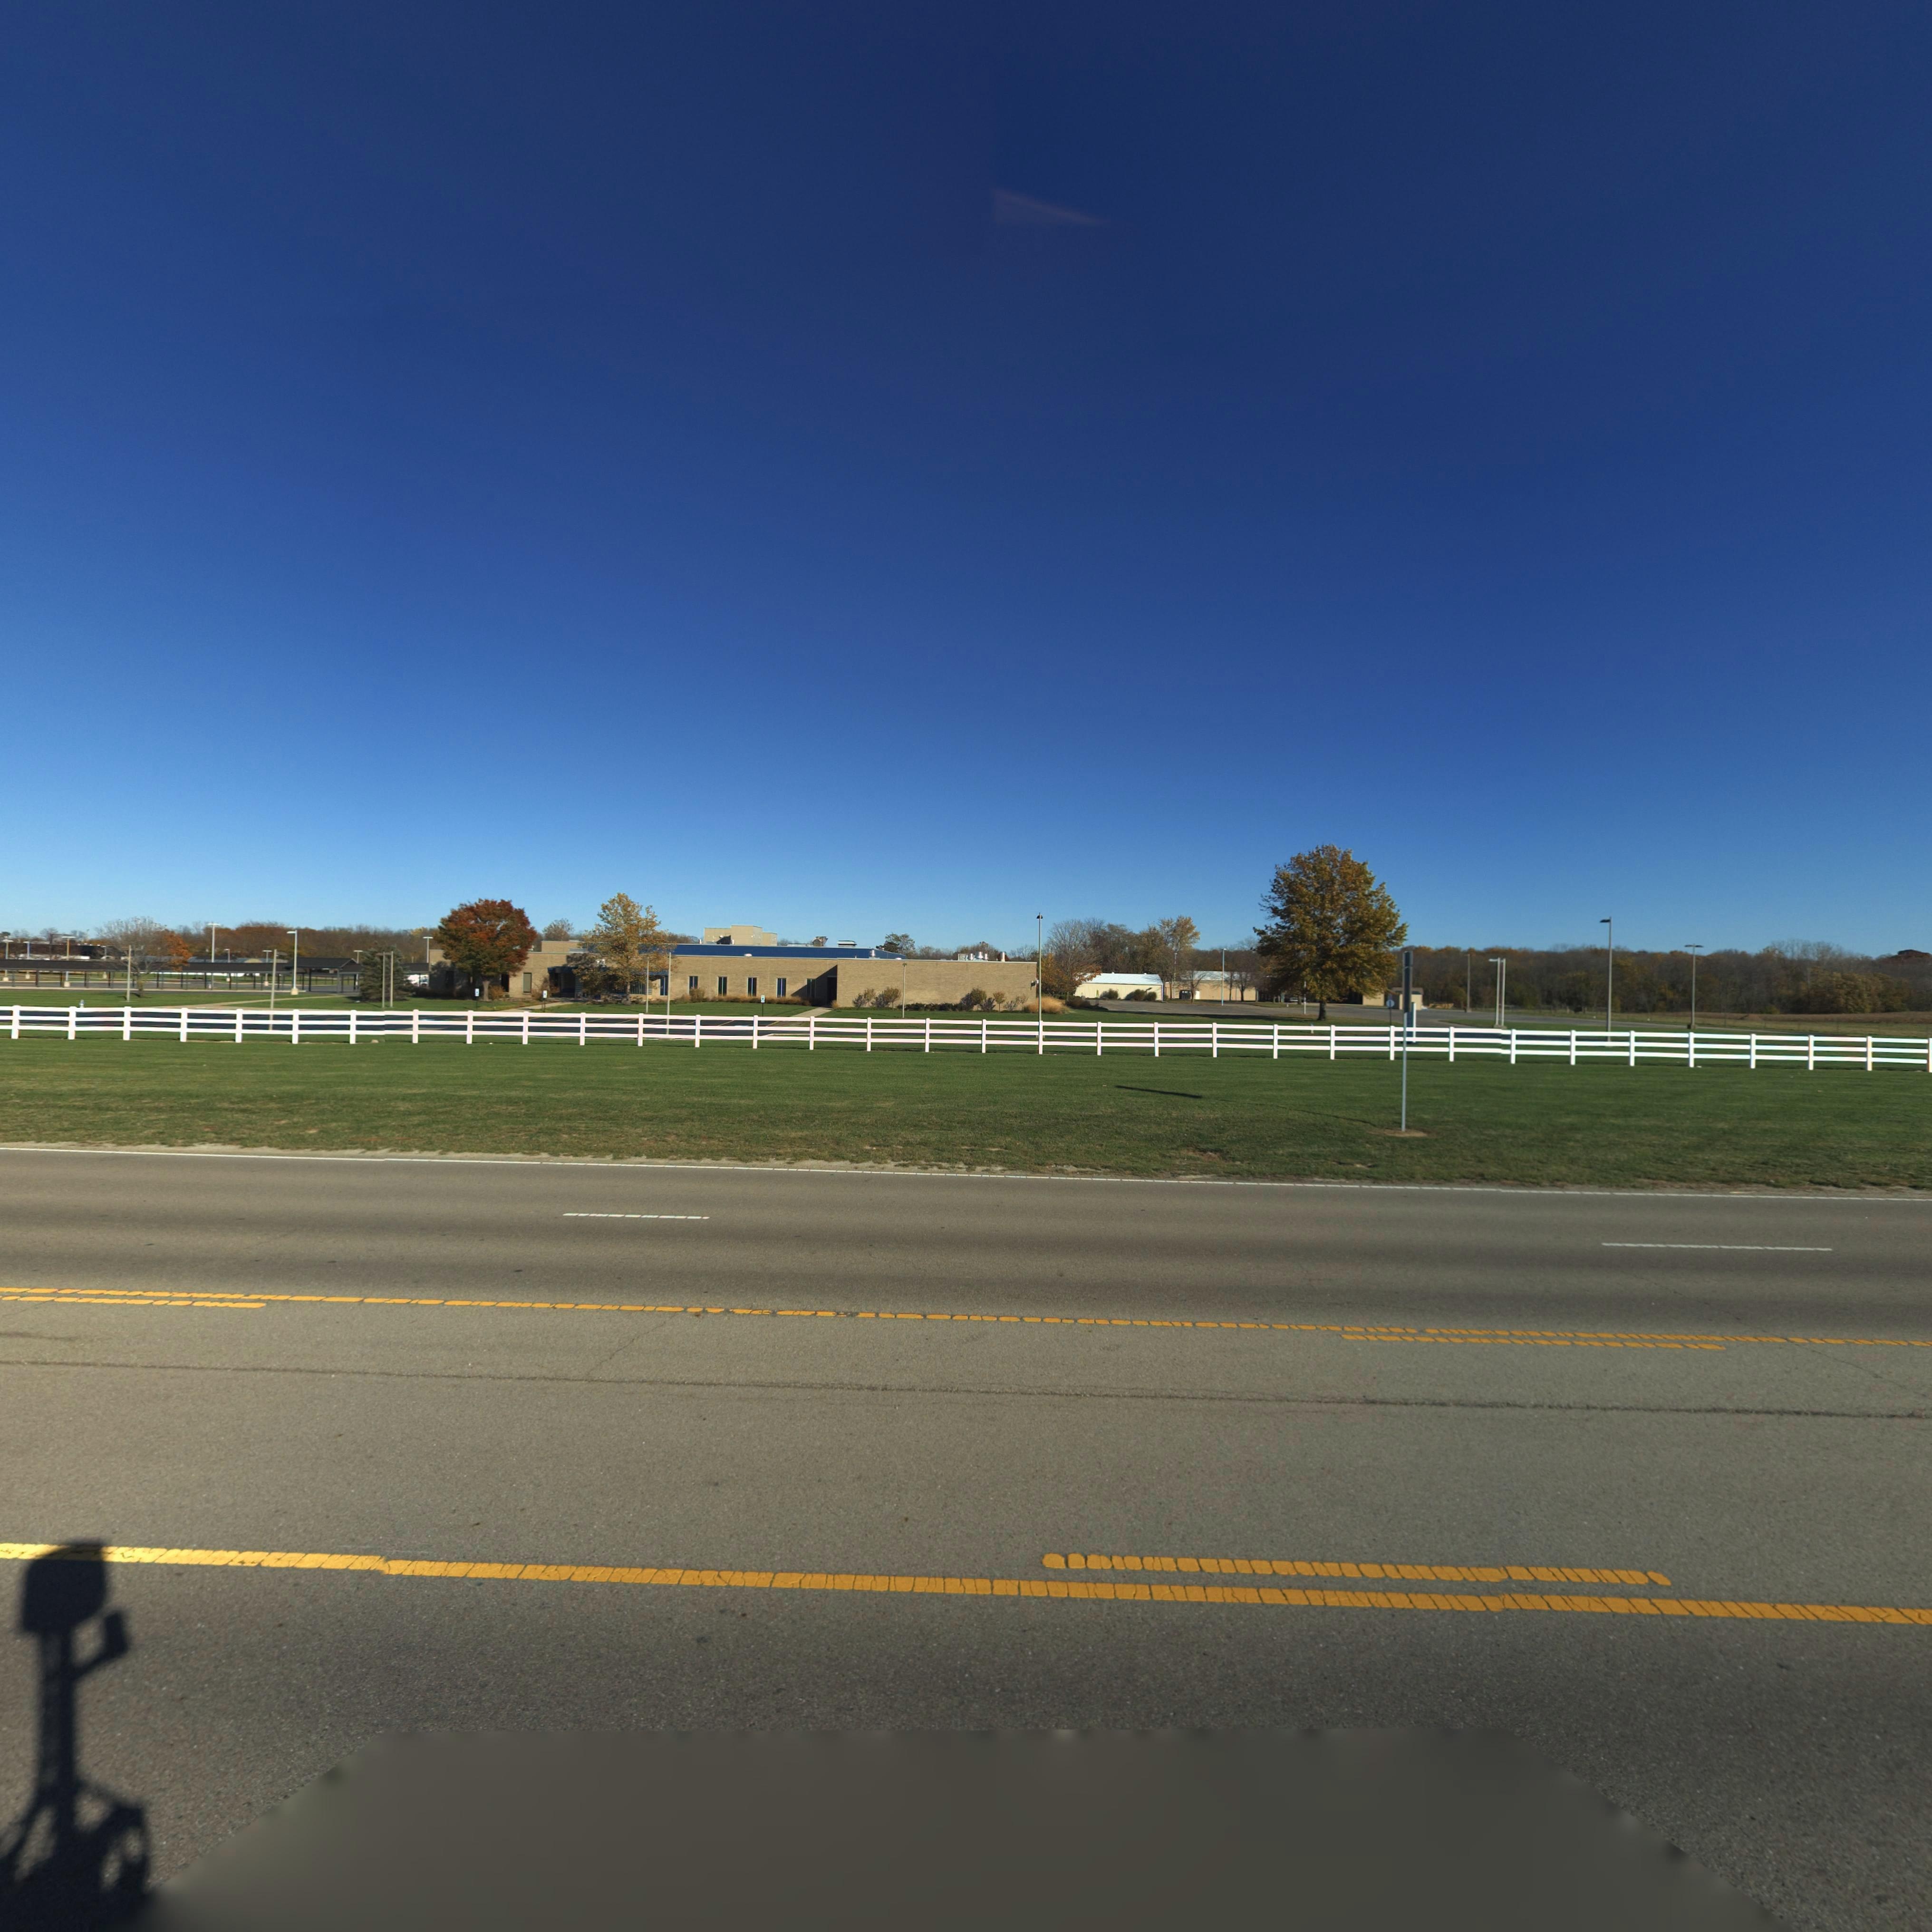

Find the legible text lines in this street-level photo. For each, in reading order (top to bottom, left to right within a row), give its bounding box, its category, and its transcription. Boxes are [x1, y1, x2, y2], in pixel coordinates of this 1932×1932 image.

[595, 958, 606, 967] StreetNumber: 14